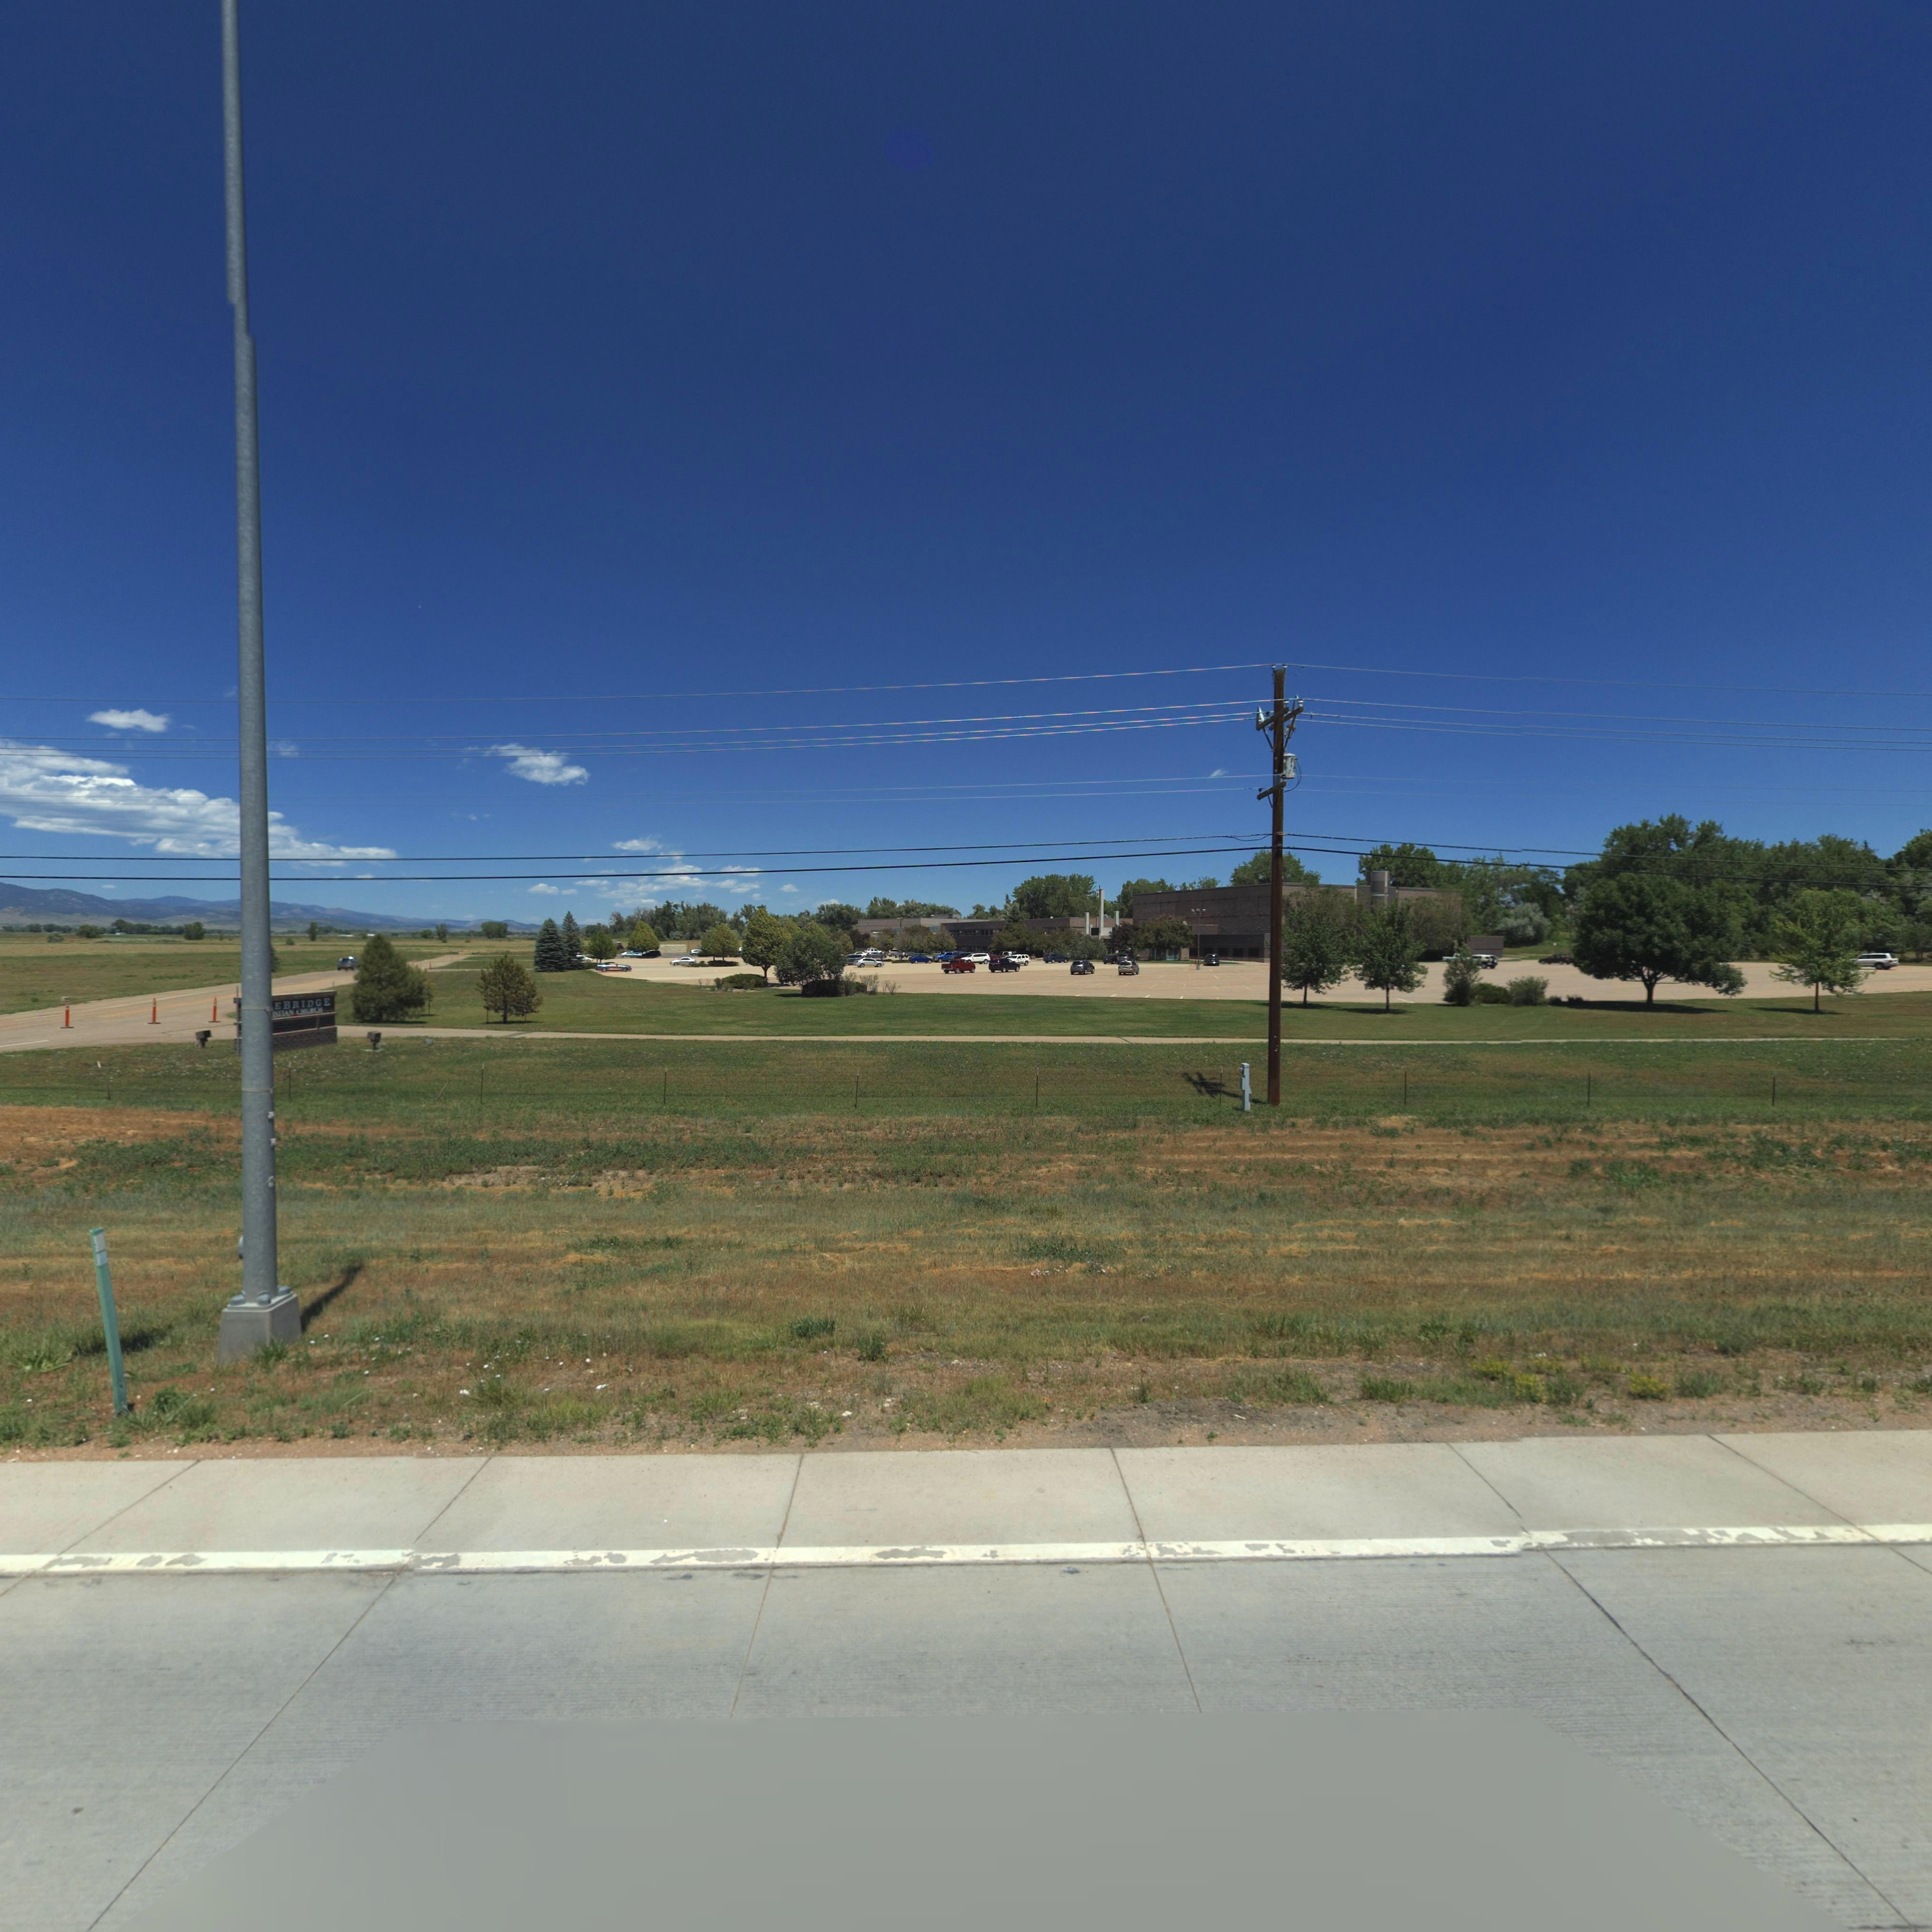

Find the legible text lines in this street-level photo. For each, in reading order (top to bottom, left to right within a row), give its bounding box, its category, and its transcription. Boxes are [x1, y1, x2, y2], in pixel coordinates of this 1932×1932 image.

[274, 997, 331, 1010] BusinessName: EBRIDGE
[271, 1006, 323, 1018] BusinessName: ISTIAN CH**CH